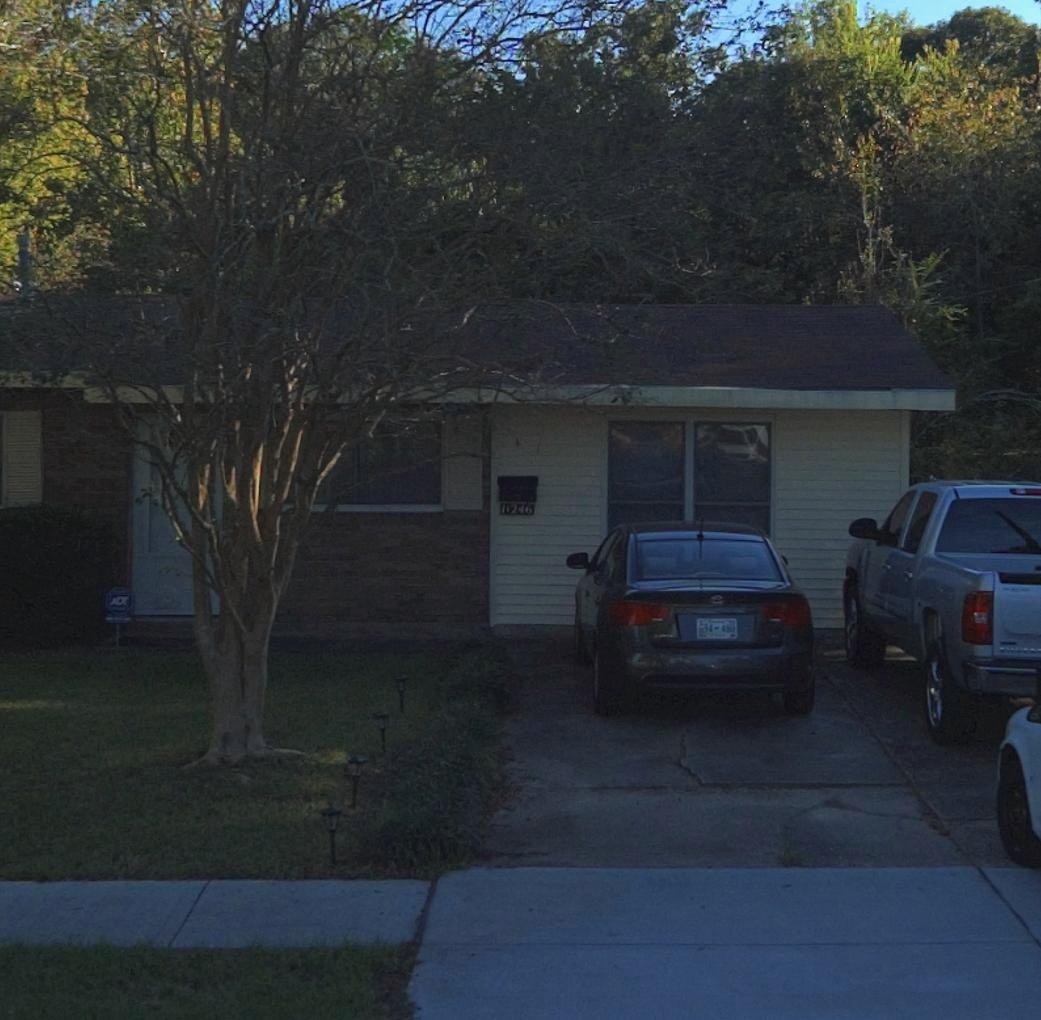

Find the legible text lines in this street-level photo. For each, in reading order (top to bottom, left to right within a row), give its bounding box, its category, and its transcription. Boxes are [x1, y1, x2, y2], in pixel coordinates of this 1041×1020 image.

[500, 502, 534, 515] StreetNumber: 11246
[108, 595, 130, 607] None: ADT
[703, 623, 714, 634] None: 94